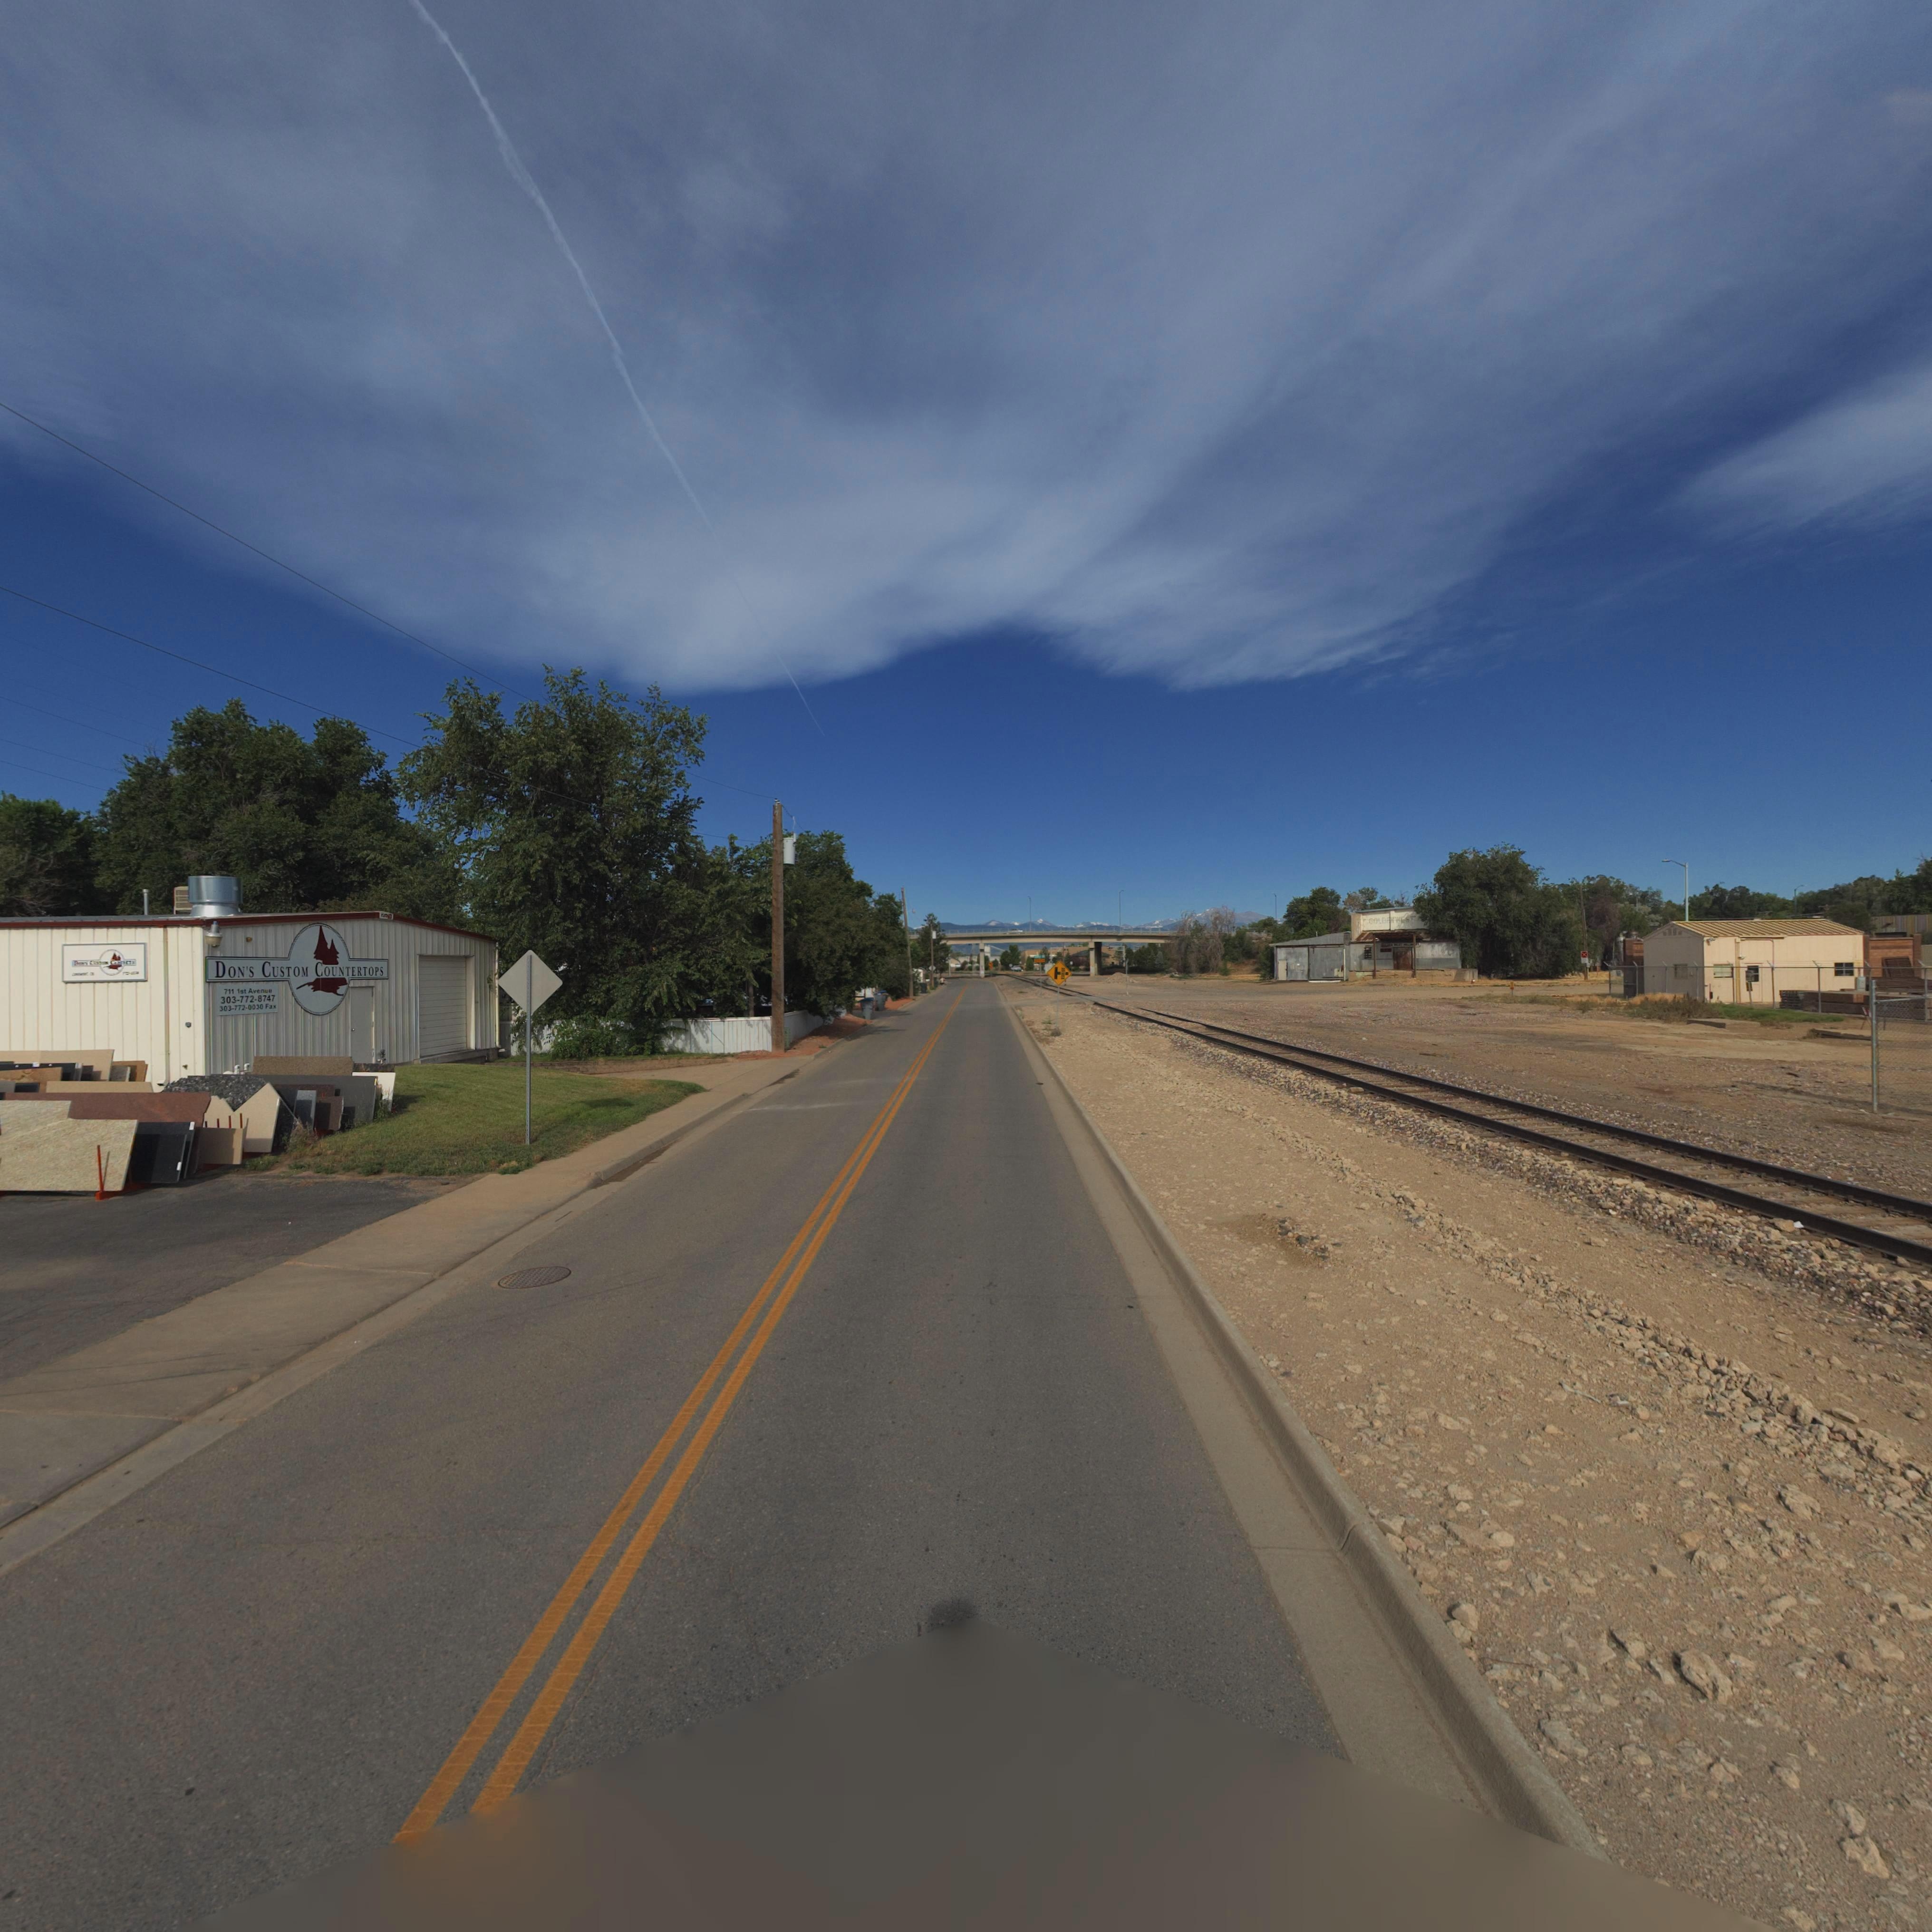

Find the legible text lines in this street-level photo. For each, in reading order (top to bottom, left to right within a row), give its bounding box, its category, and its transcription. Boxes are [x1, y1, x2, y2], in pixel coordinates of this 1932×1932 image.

[214, 960, 383, 977] BusinessName: Don's Custom Countertops
[223, 988, 235, 995] StreetNumber: 711
[236, 987, 272, 994] StreetName: 1st Avenue